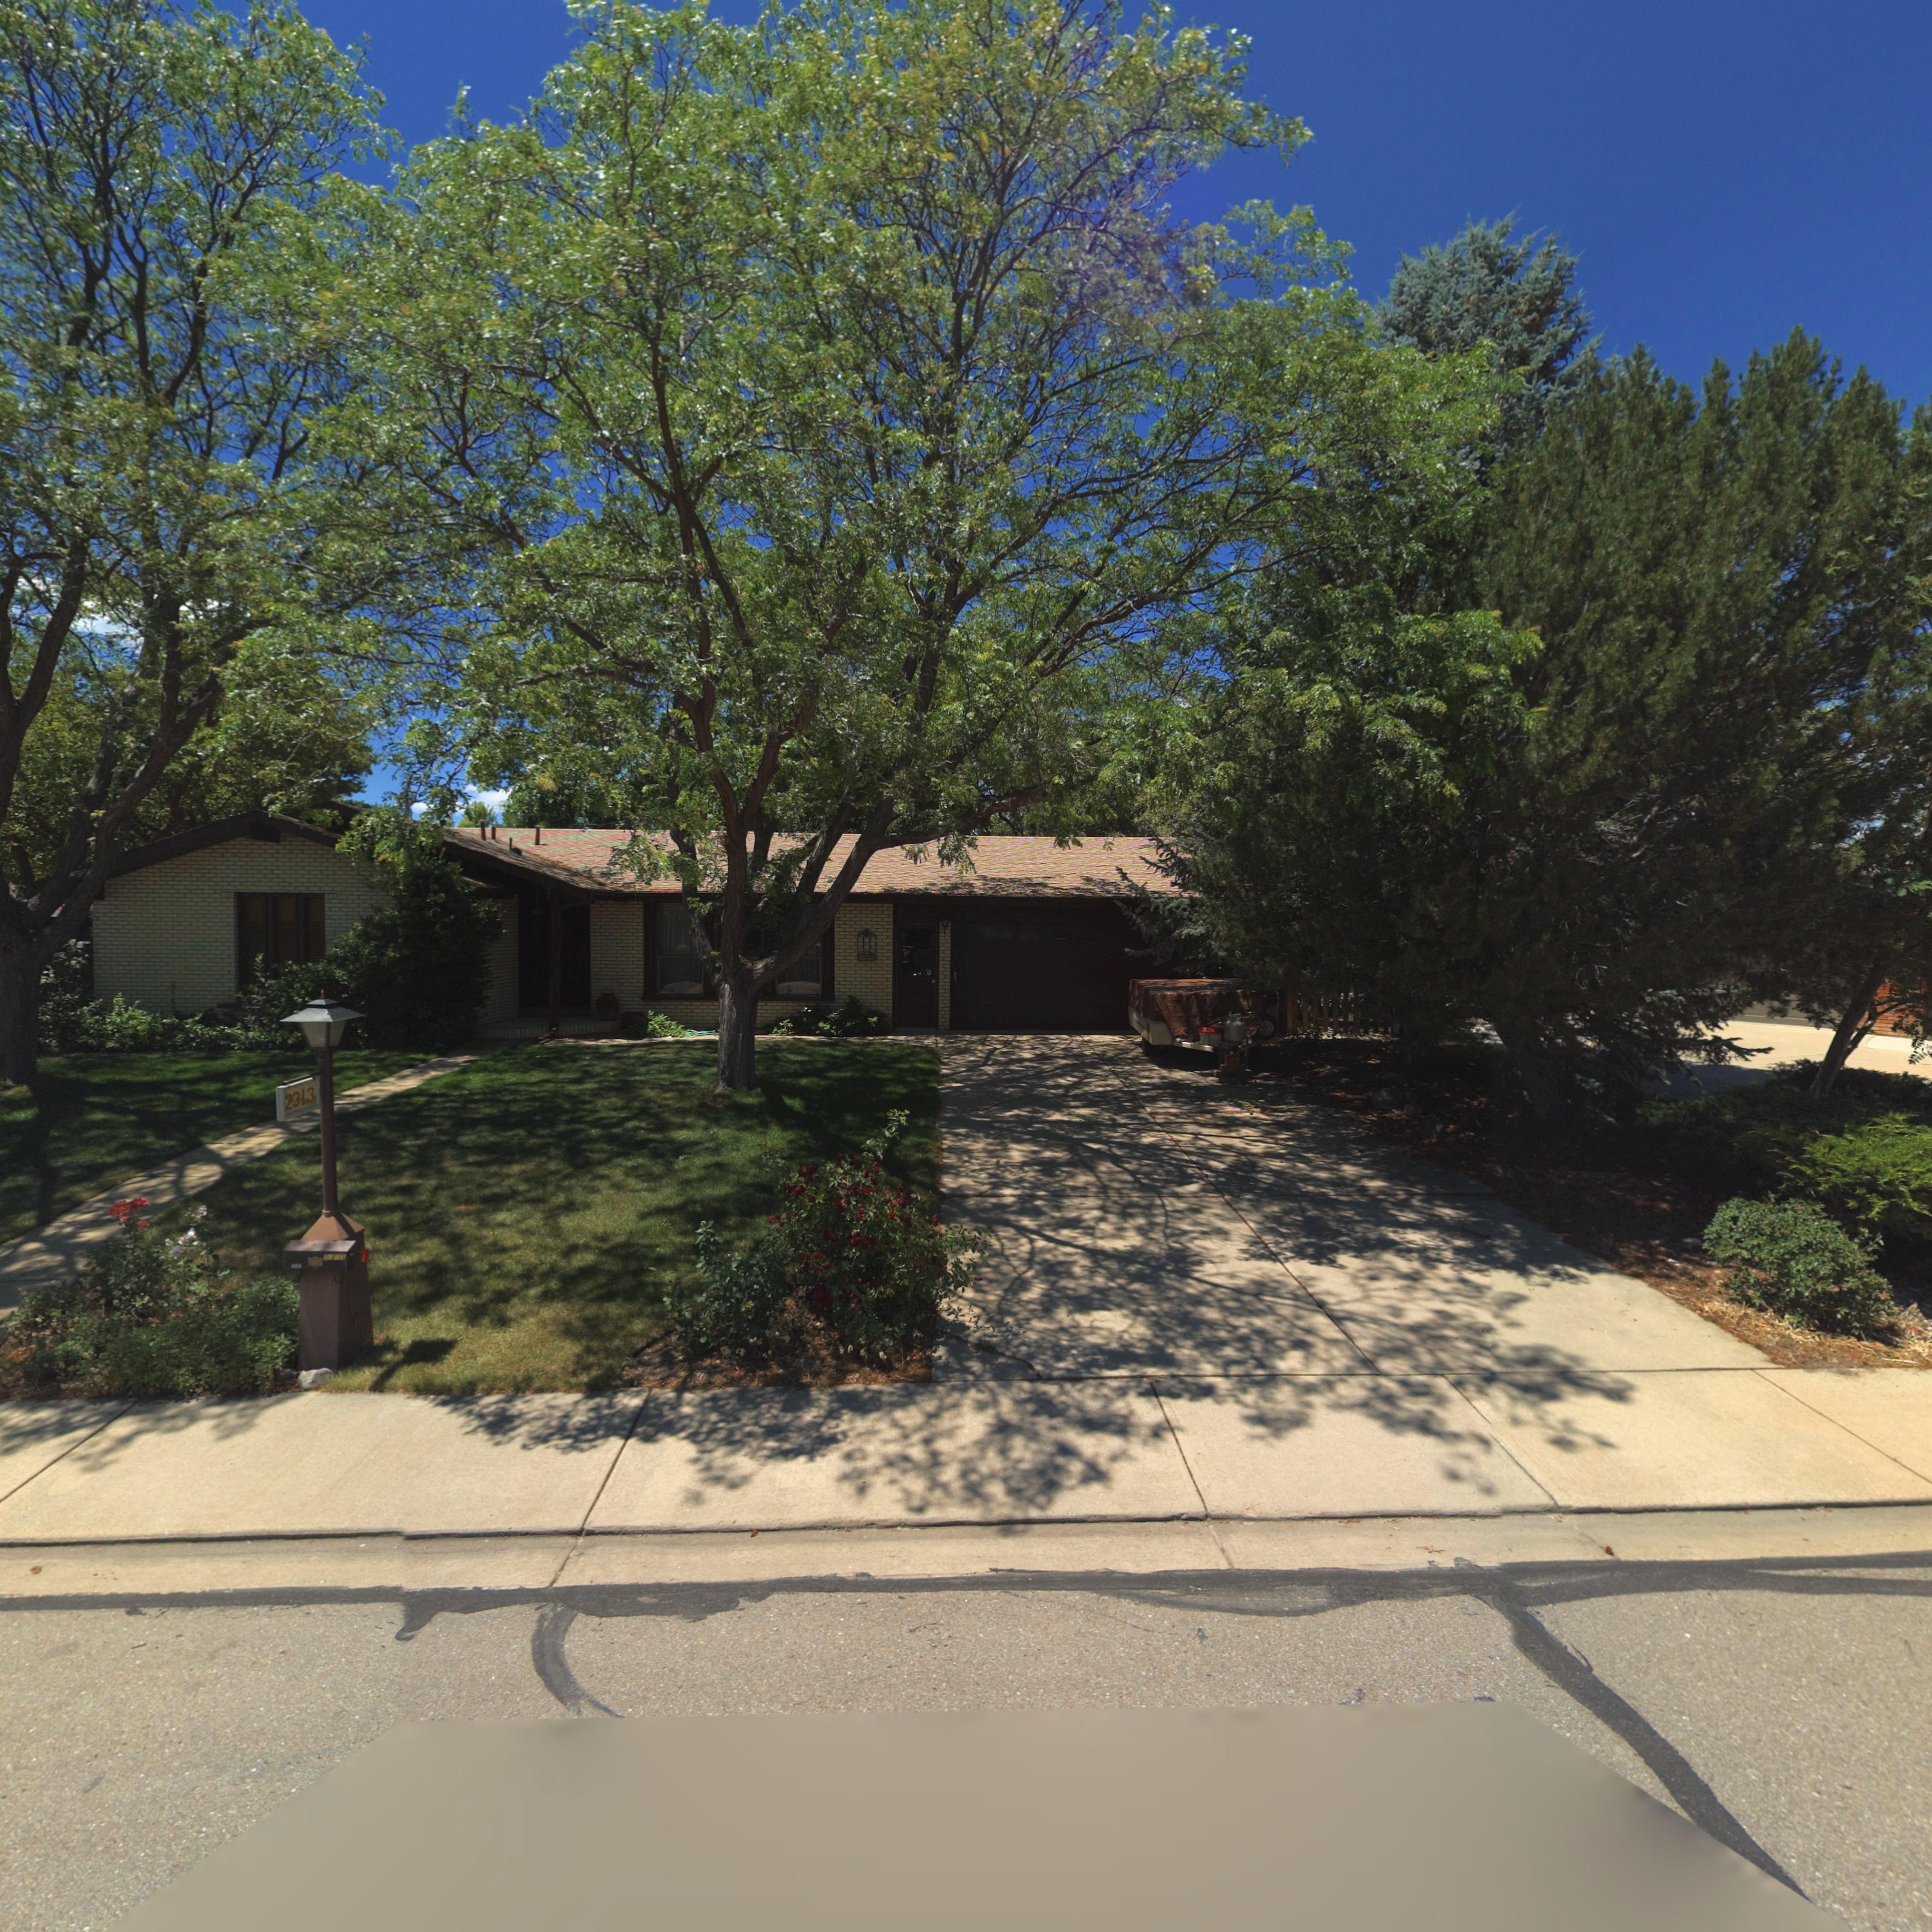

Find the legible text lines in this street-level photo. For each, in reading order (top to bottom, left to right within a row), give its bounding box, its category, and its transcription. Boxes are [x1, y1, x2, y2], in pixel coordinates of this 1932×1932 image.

[284, 1085, 315, 1112] StreetNumber: 2313
[322, 1254, 346, 1261] StreetNumber: 2*2*3